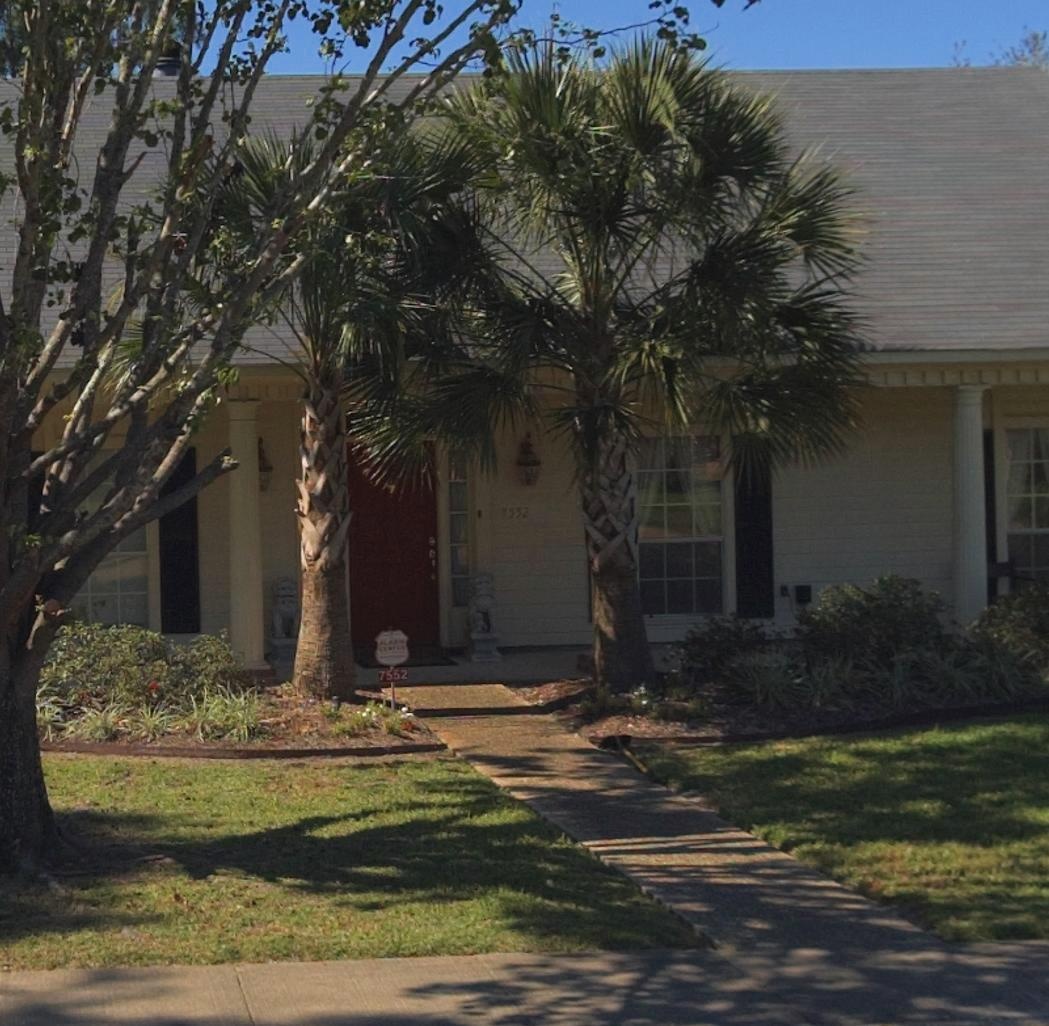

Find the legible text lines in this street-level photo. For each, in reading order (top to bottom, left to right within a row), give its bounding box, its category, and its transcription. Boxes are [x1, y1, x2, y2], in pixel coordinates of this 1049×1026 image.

[499, 506, 530, 520] StreetNumber: 7552
[379, 639, 405, 646] None: ALARM
[377, 645, 407, 653] None: CENTER
[378, 669, 408, 681] StreetNumber: 7552